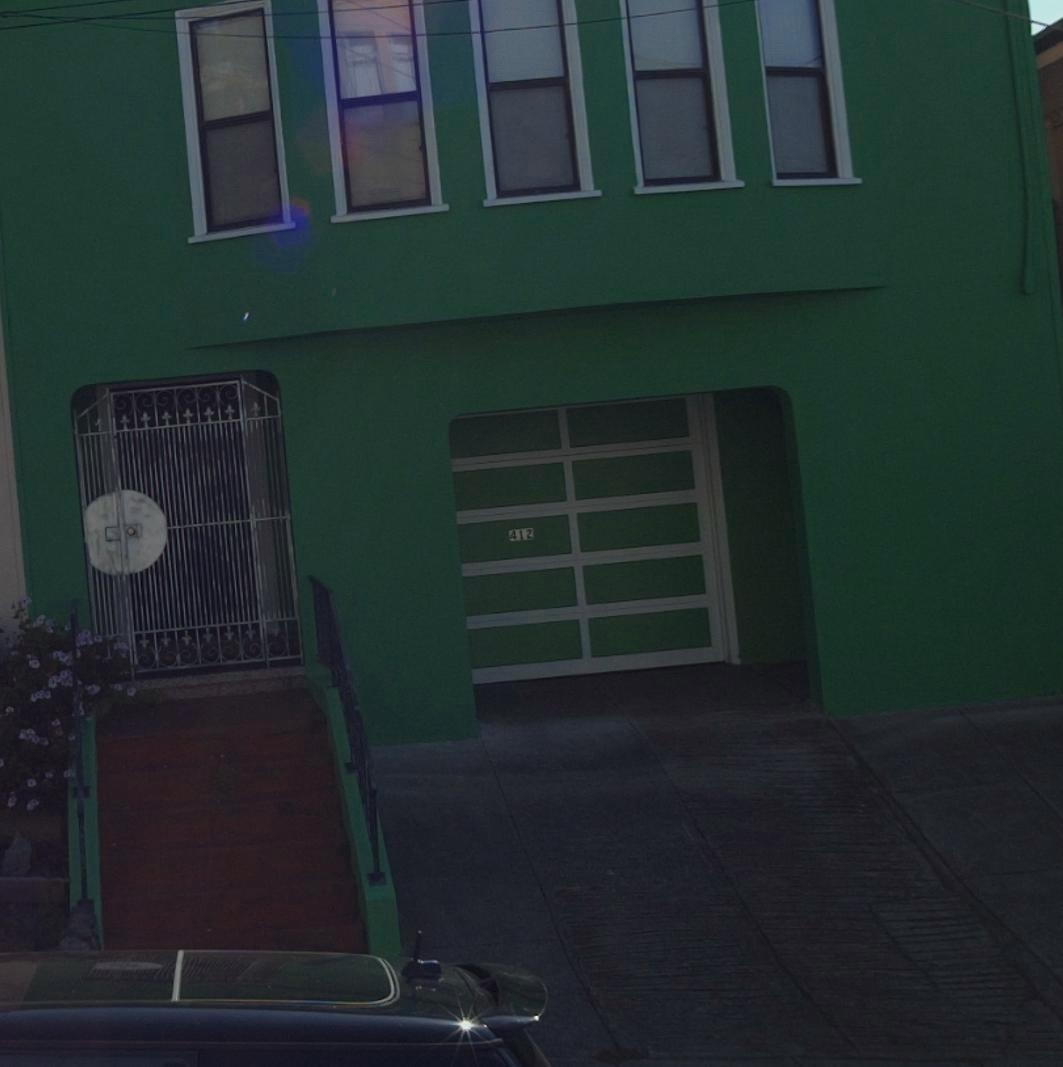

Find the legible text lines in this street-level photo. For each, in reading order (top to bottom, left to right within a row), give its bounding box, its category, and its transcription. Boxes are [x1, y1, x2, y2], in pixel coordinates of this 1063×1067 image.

[506, 526, 535, 544] StreetNumber: 412